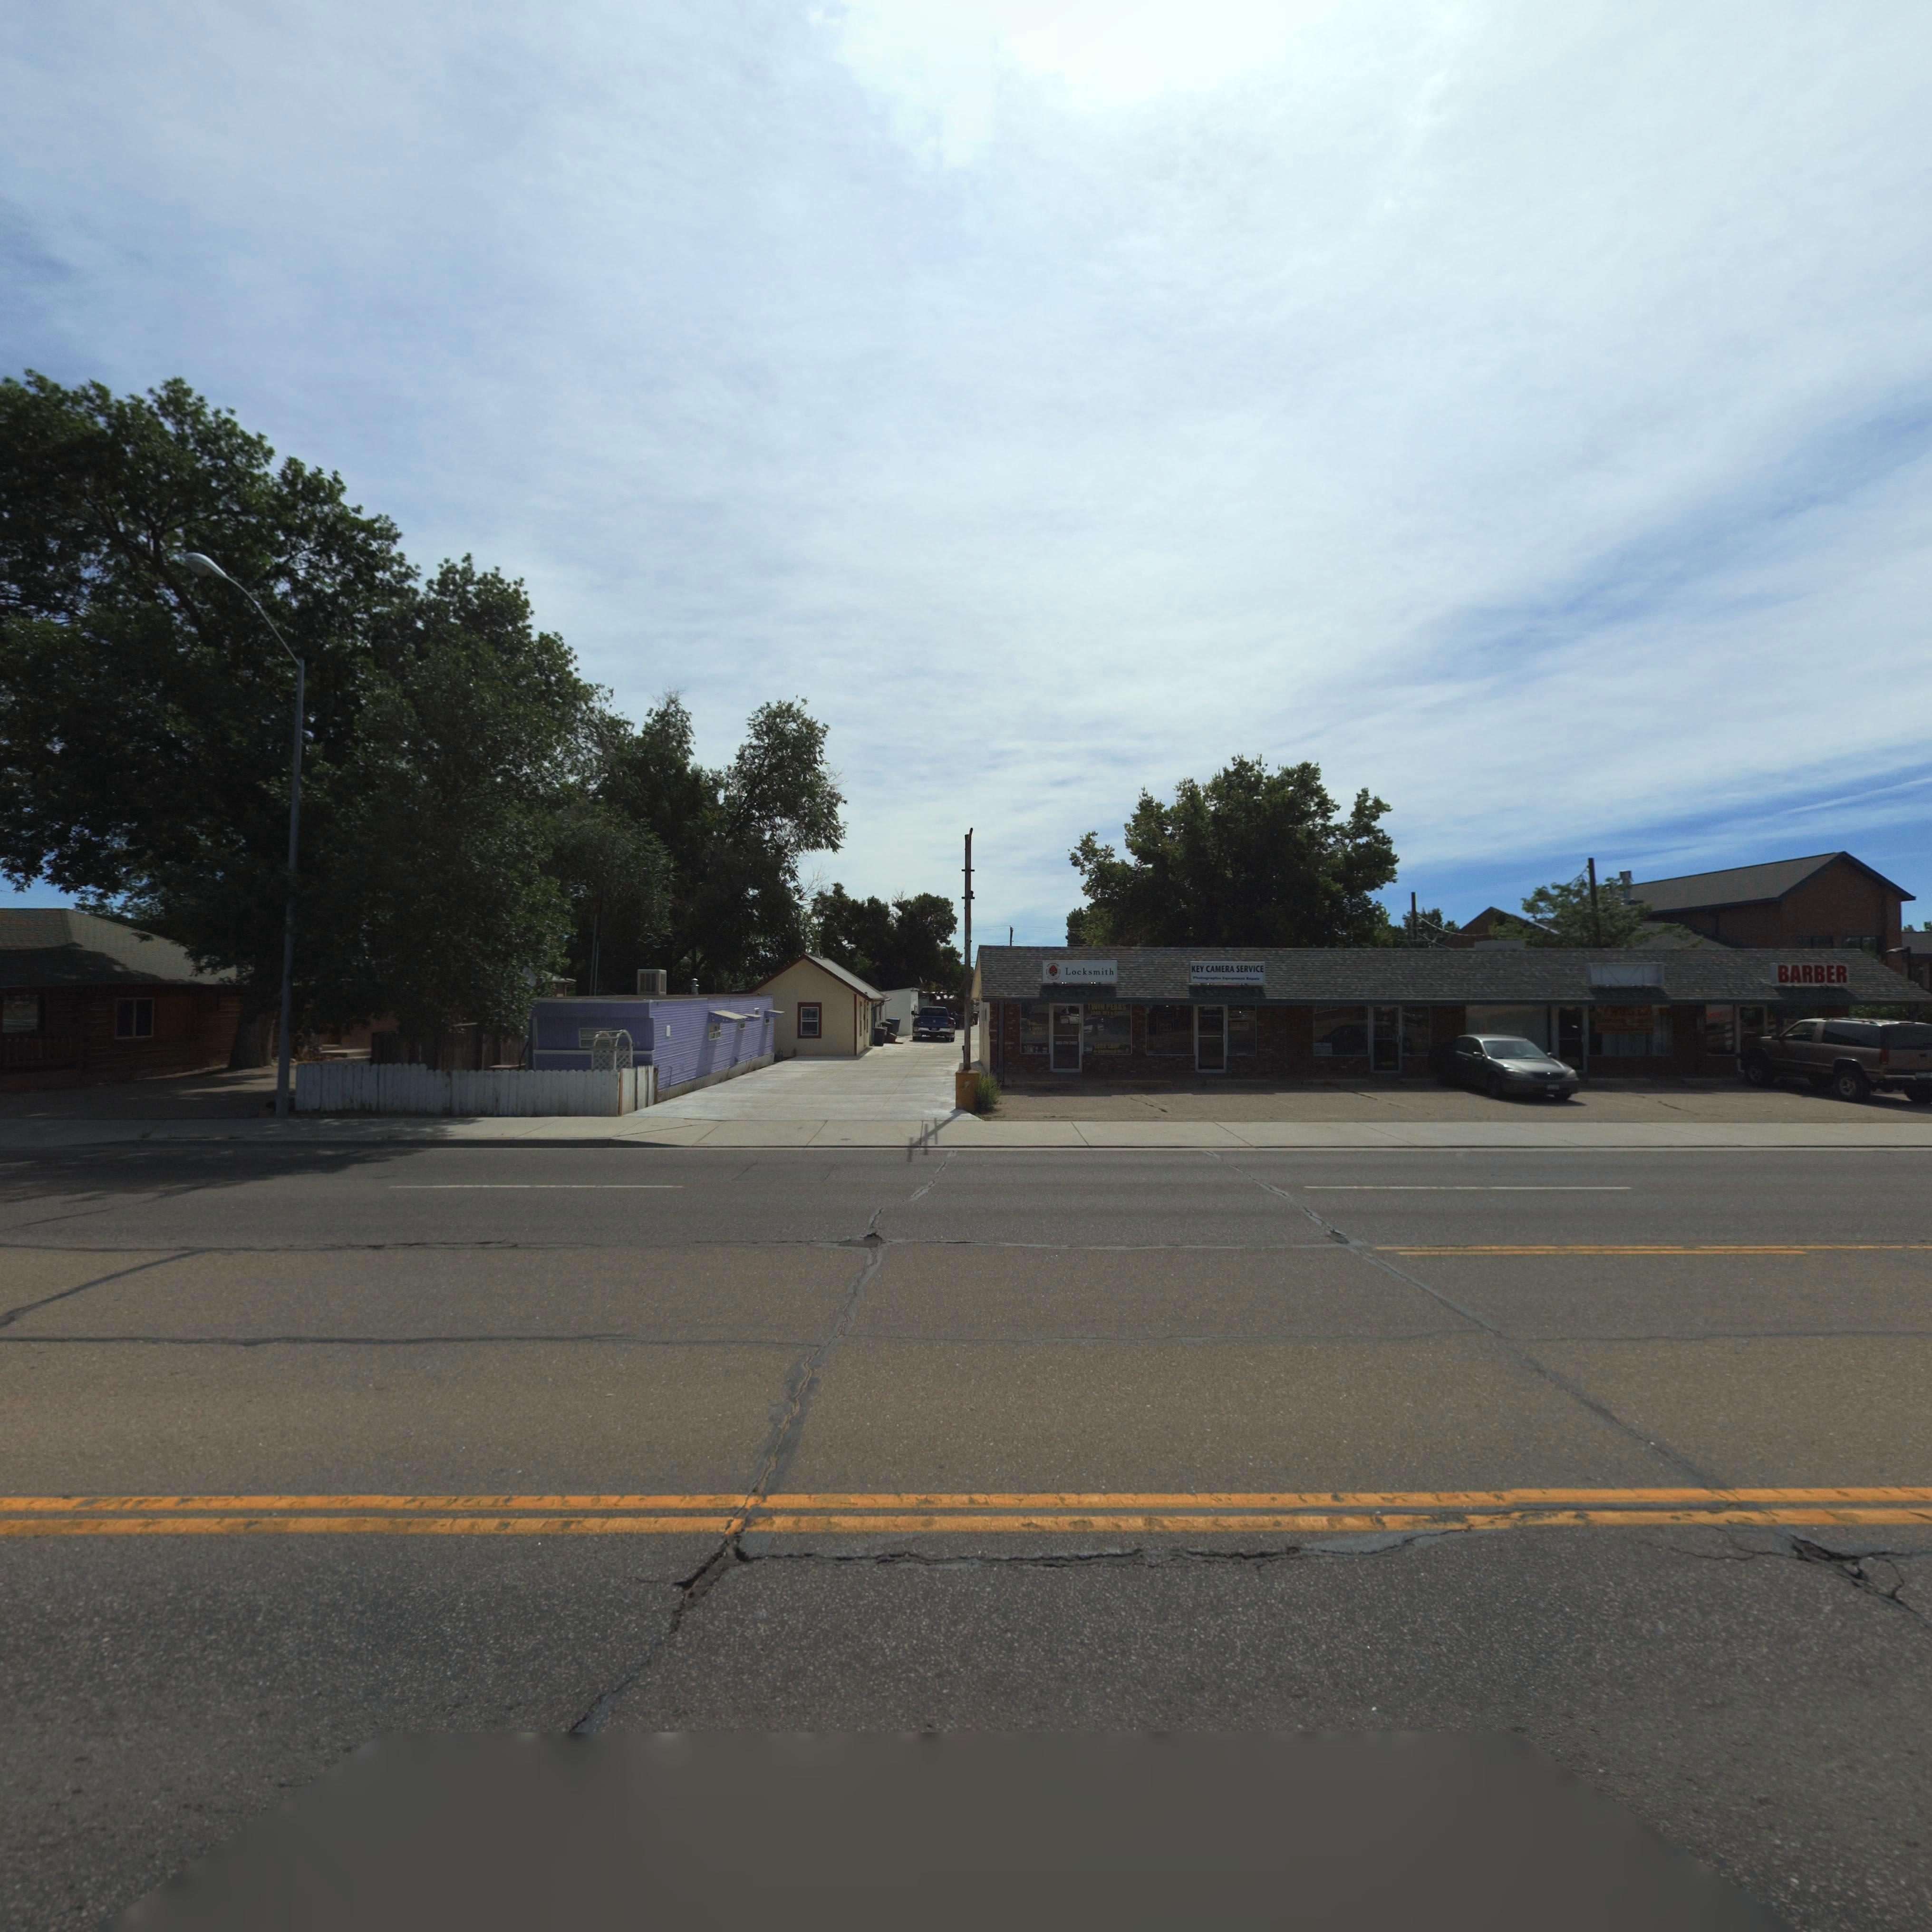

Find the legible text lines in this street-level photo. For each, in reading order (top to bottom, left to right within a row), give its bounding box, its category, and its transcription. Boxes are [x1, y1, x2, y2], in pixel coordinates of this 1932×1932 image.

[1191, 964, 1264, 973] BusinessName: KEY CAMER SERVICE